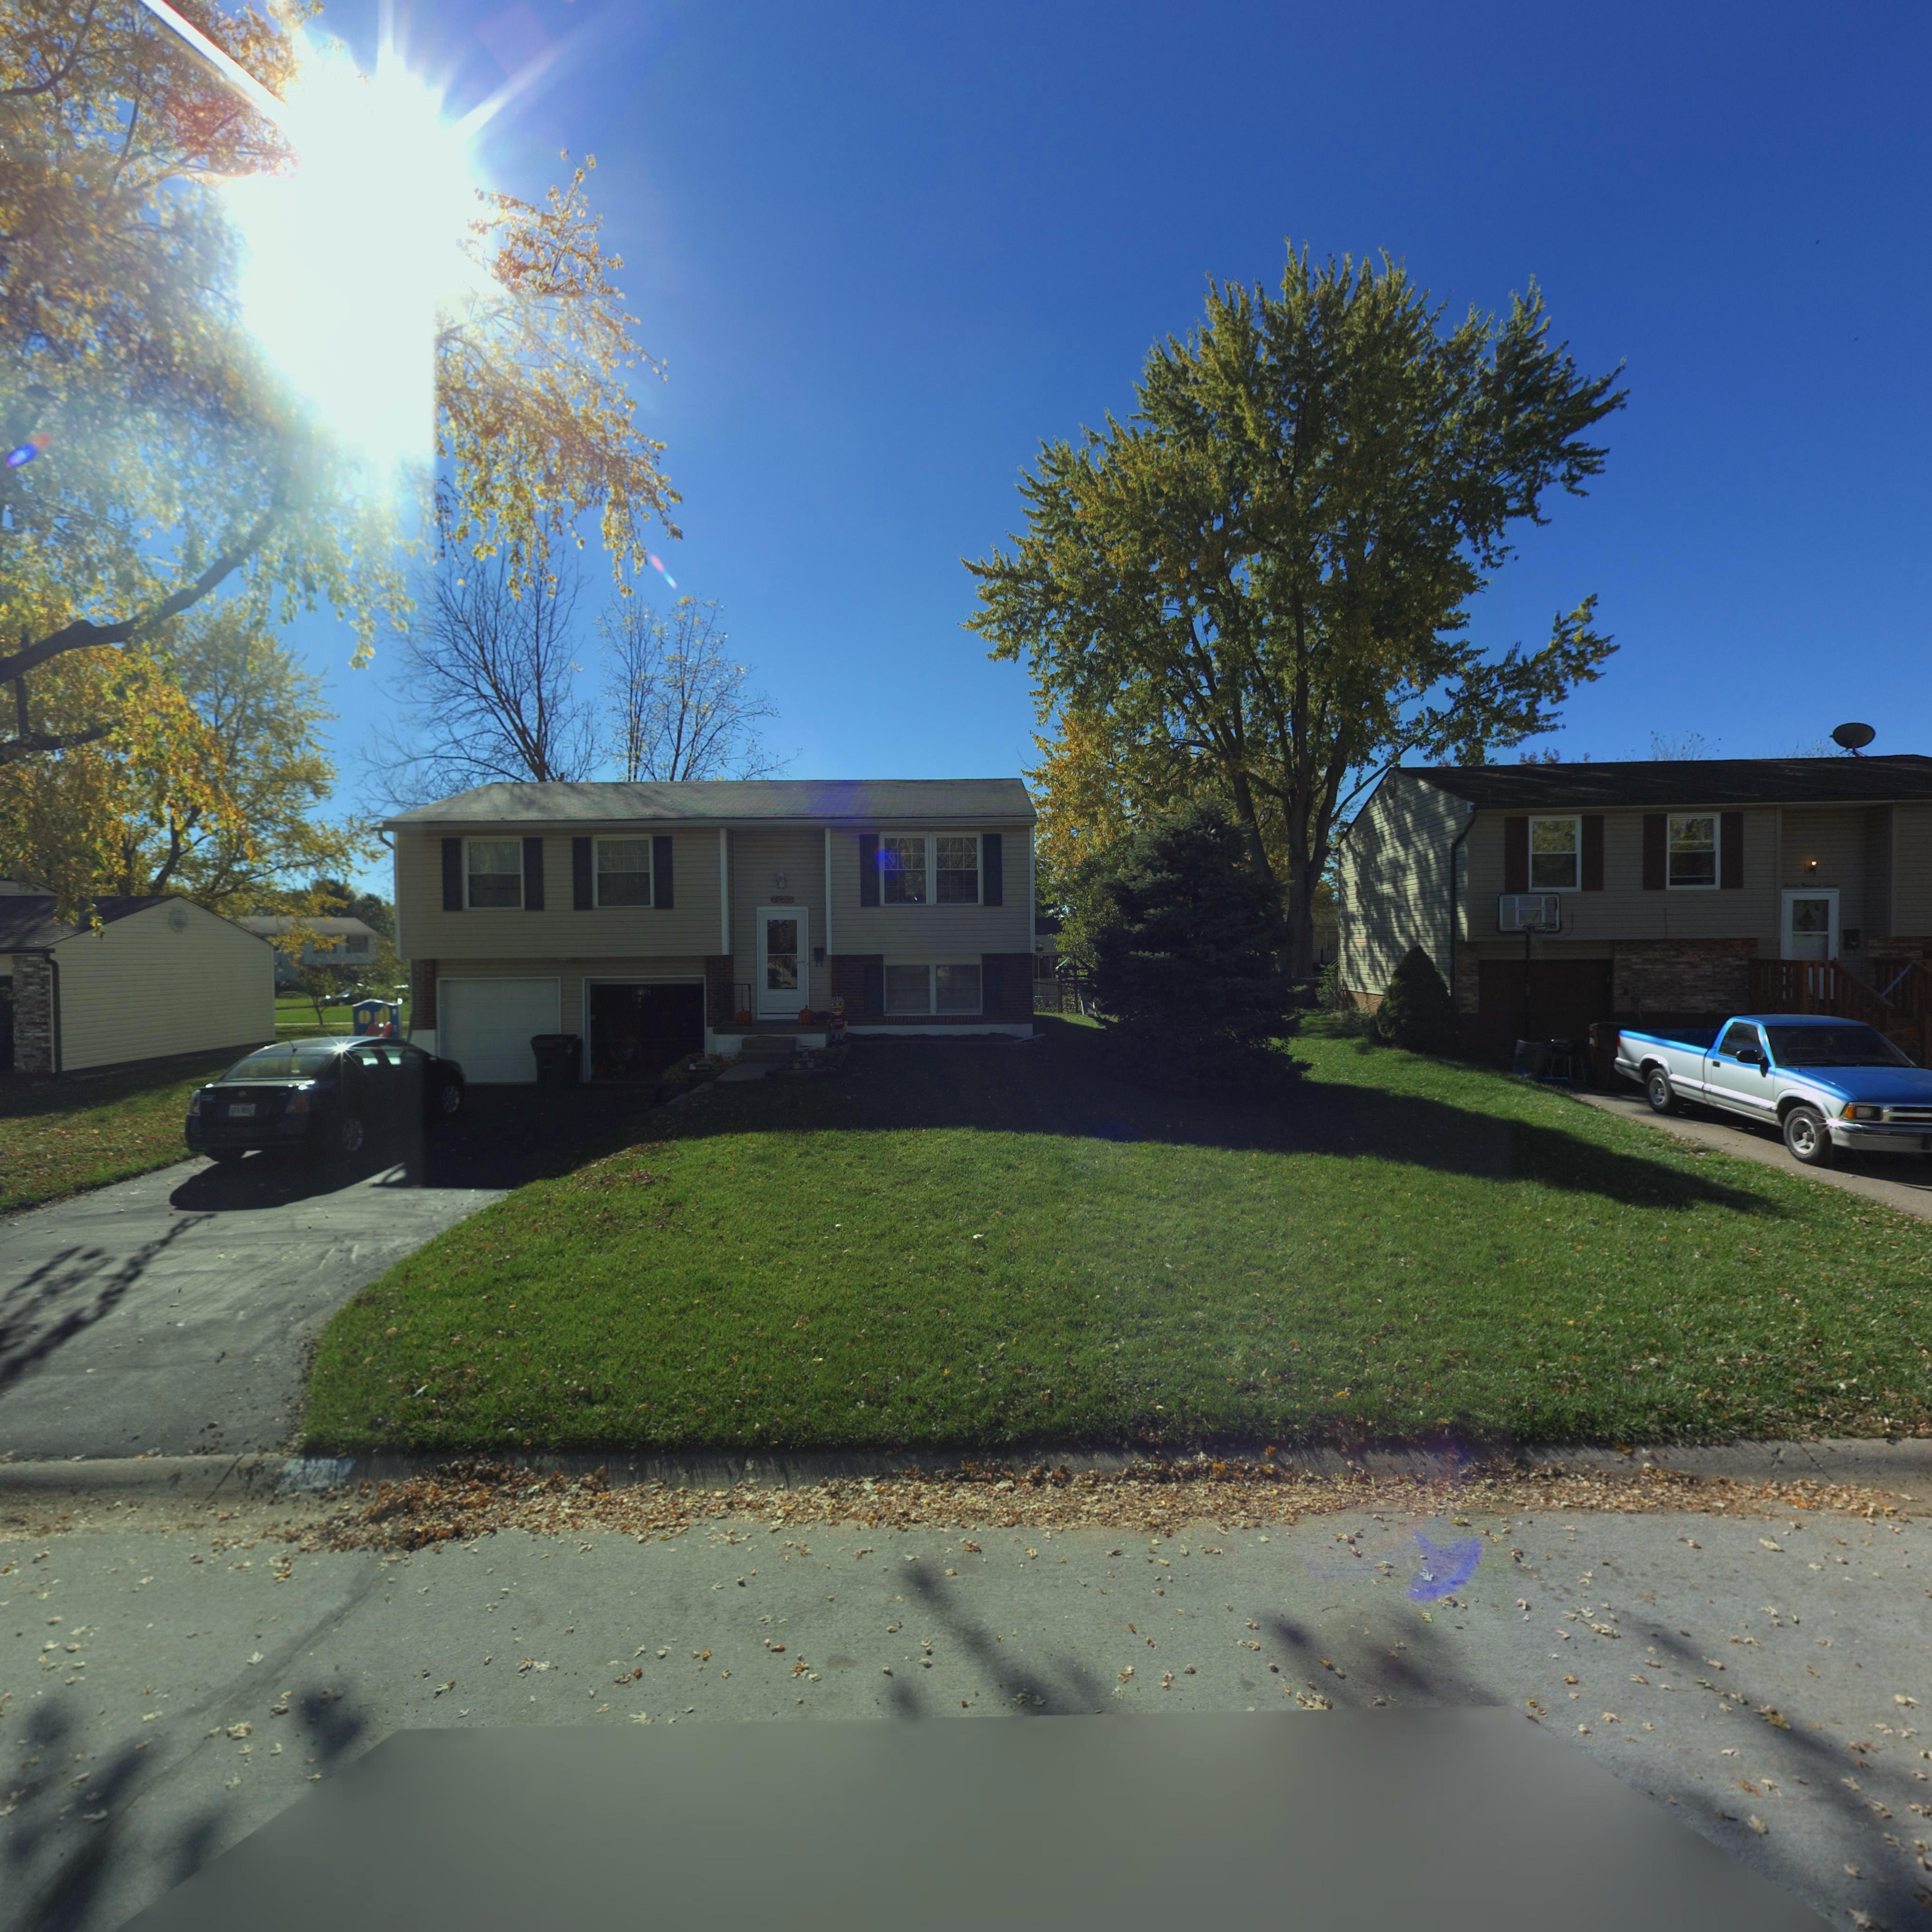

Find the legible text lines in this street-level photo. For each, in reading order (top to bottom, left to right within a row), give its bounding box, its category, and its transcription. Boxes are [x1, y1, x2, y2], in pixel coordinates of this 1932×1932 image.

[798, 1061, 810, 1070] StreetNumber: 705